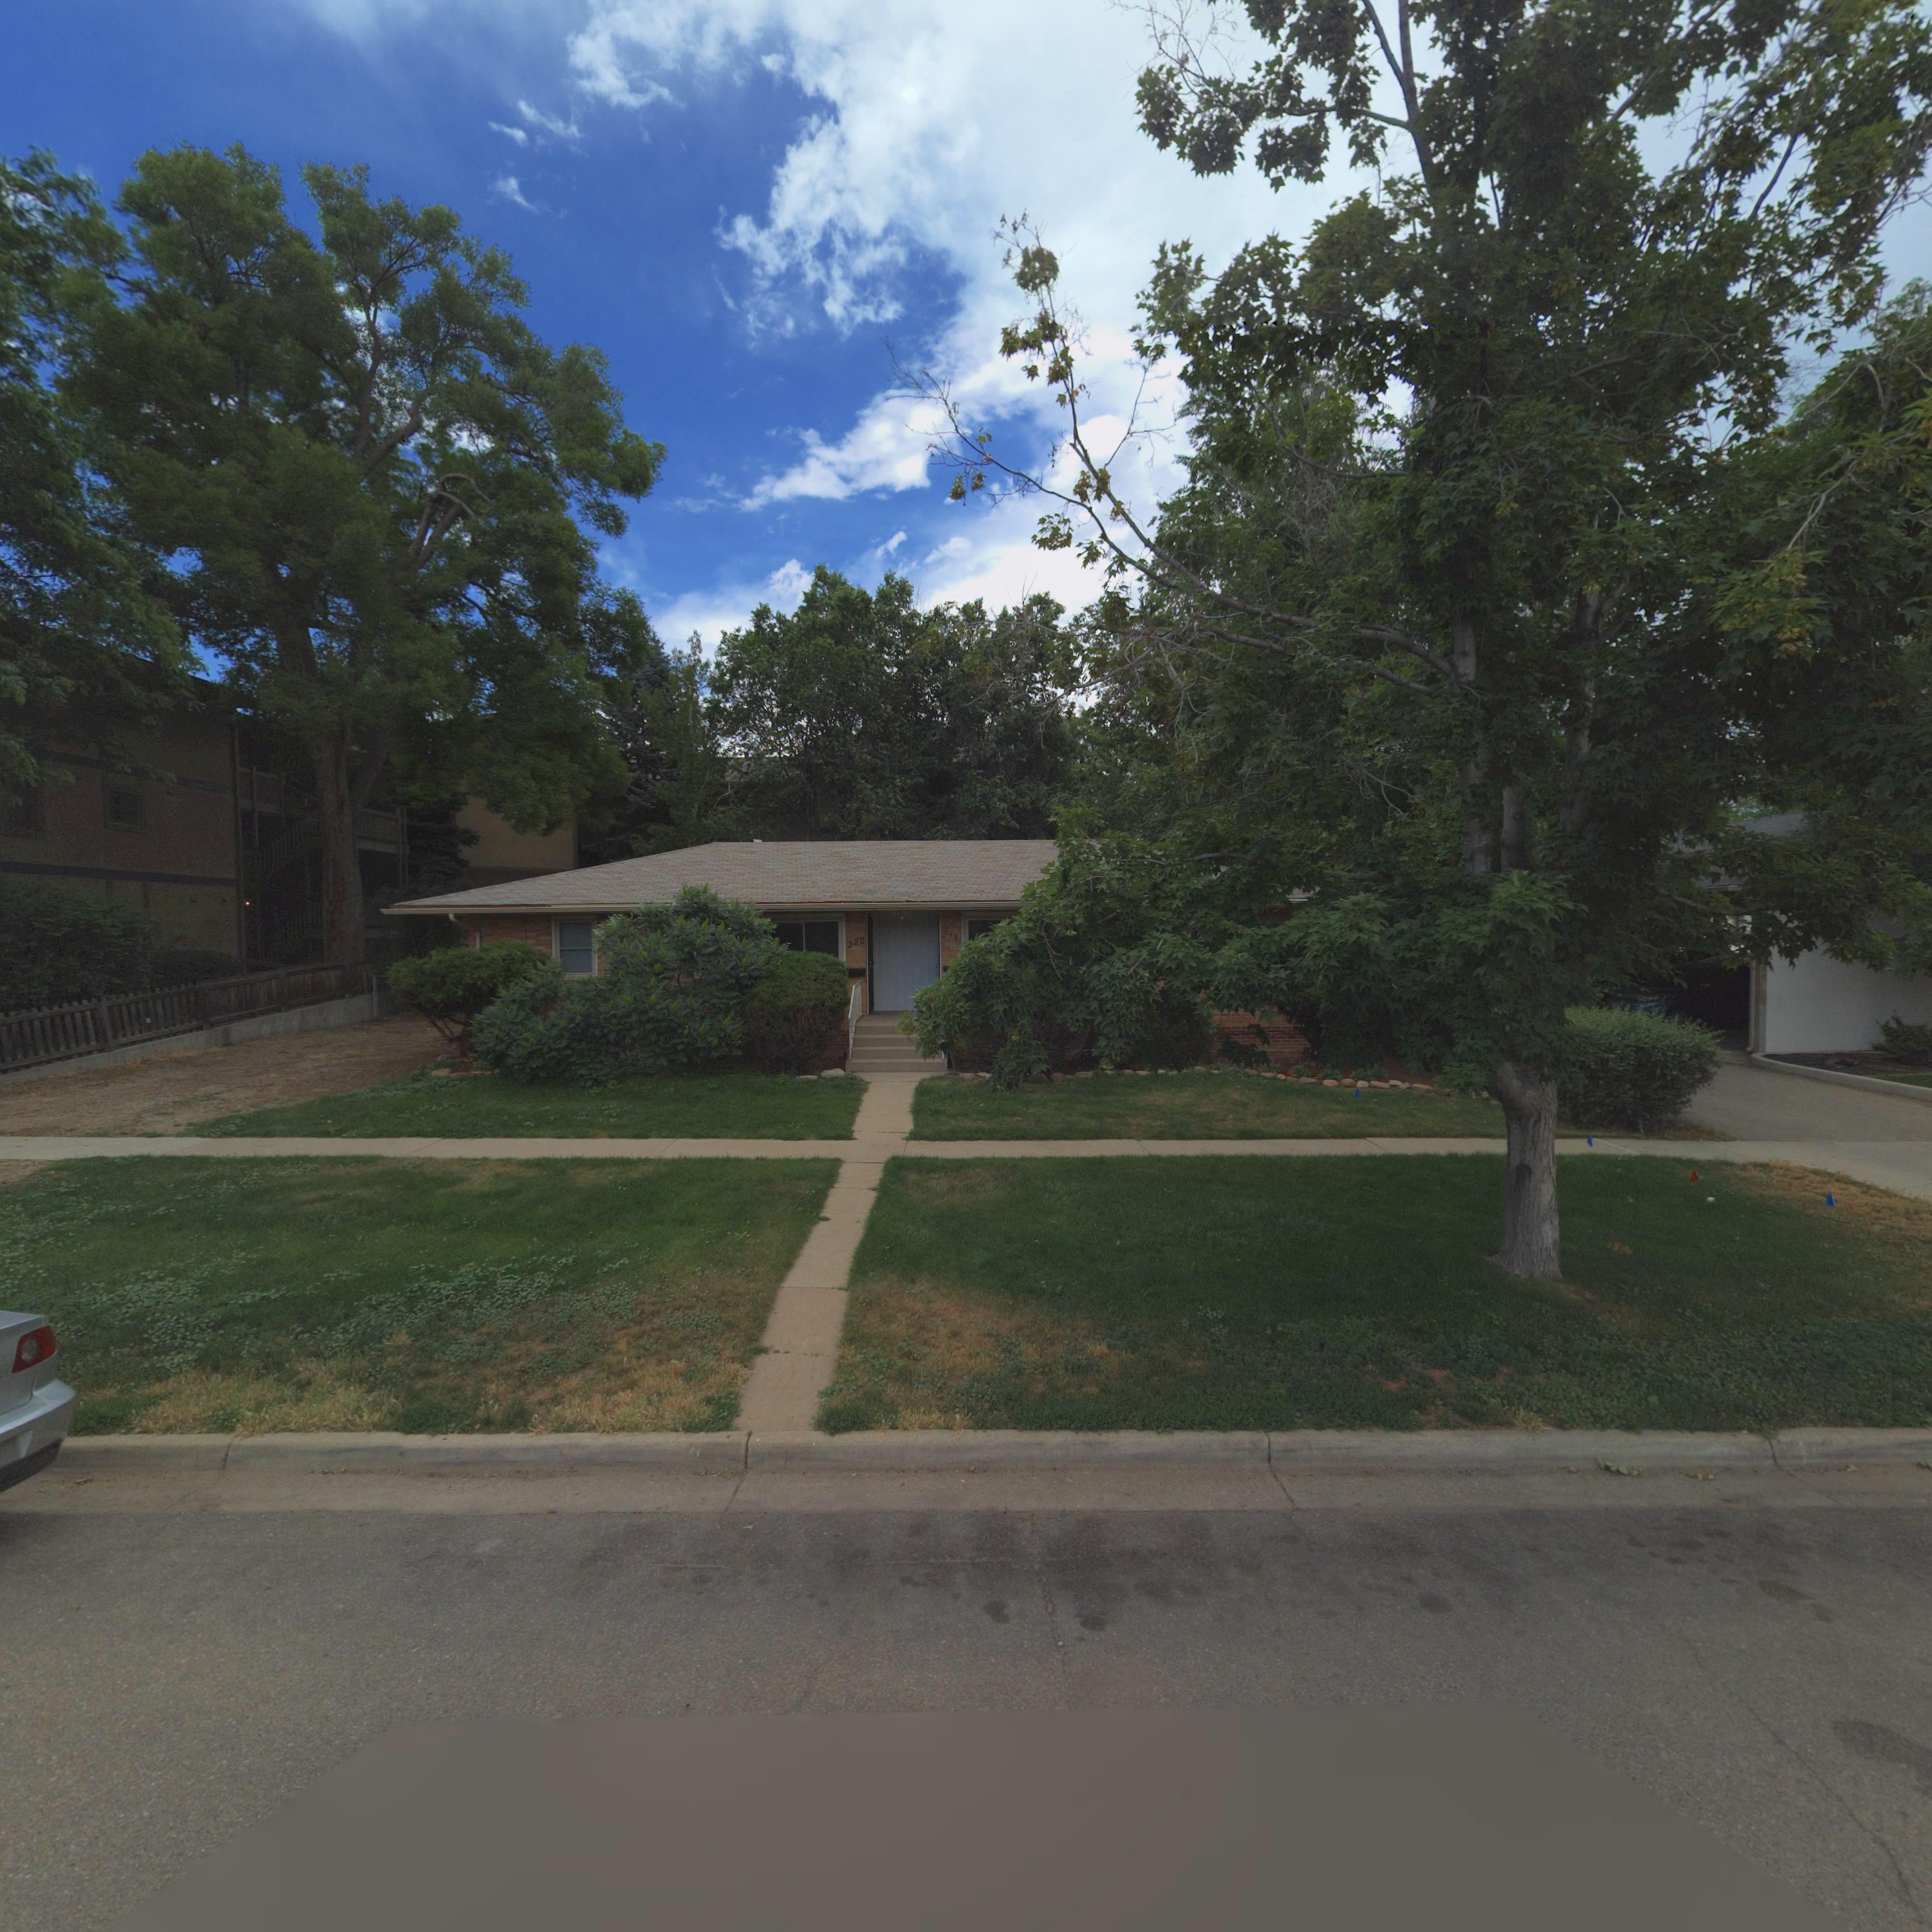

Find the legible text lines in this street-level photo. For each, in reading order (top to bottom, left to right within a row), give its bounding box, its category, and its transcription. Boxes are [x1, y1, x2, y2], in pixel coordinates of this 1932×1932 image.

[944, 927, 958, 940] StreetNumber: 318
[847, 937, 865, 949] StreetNumber: 320